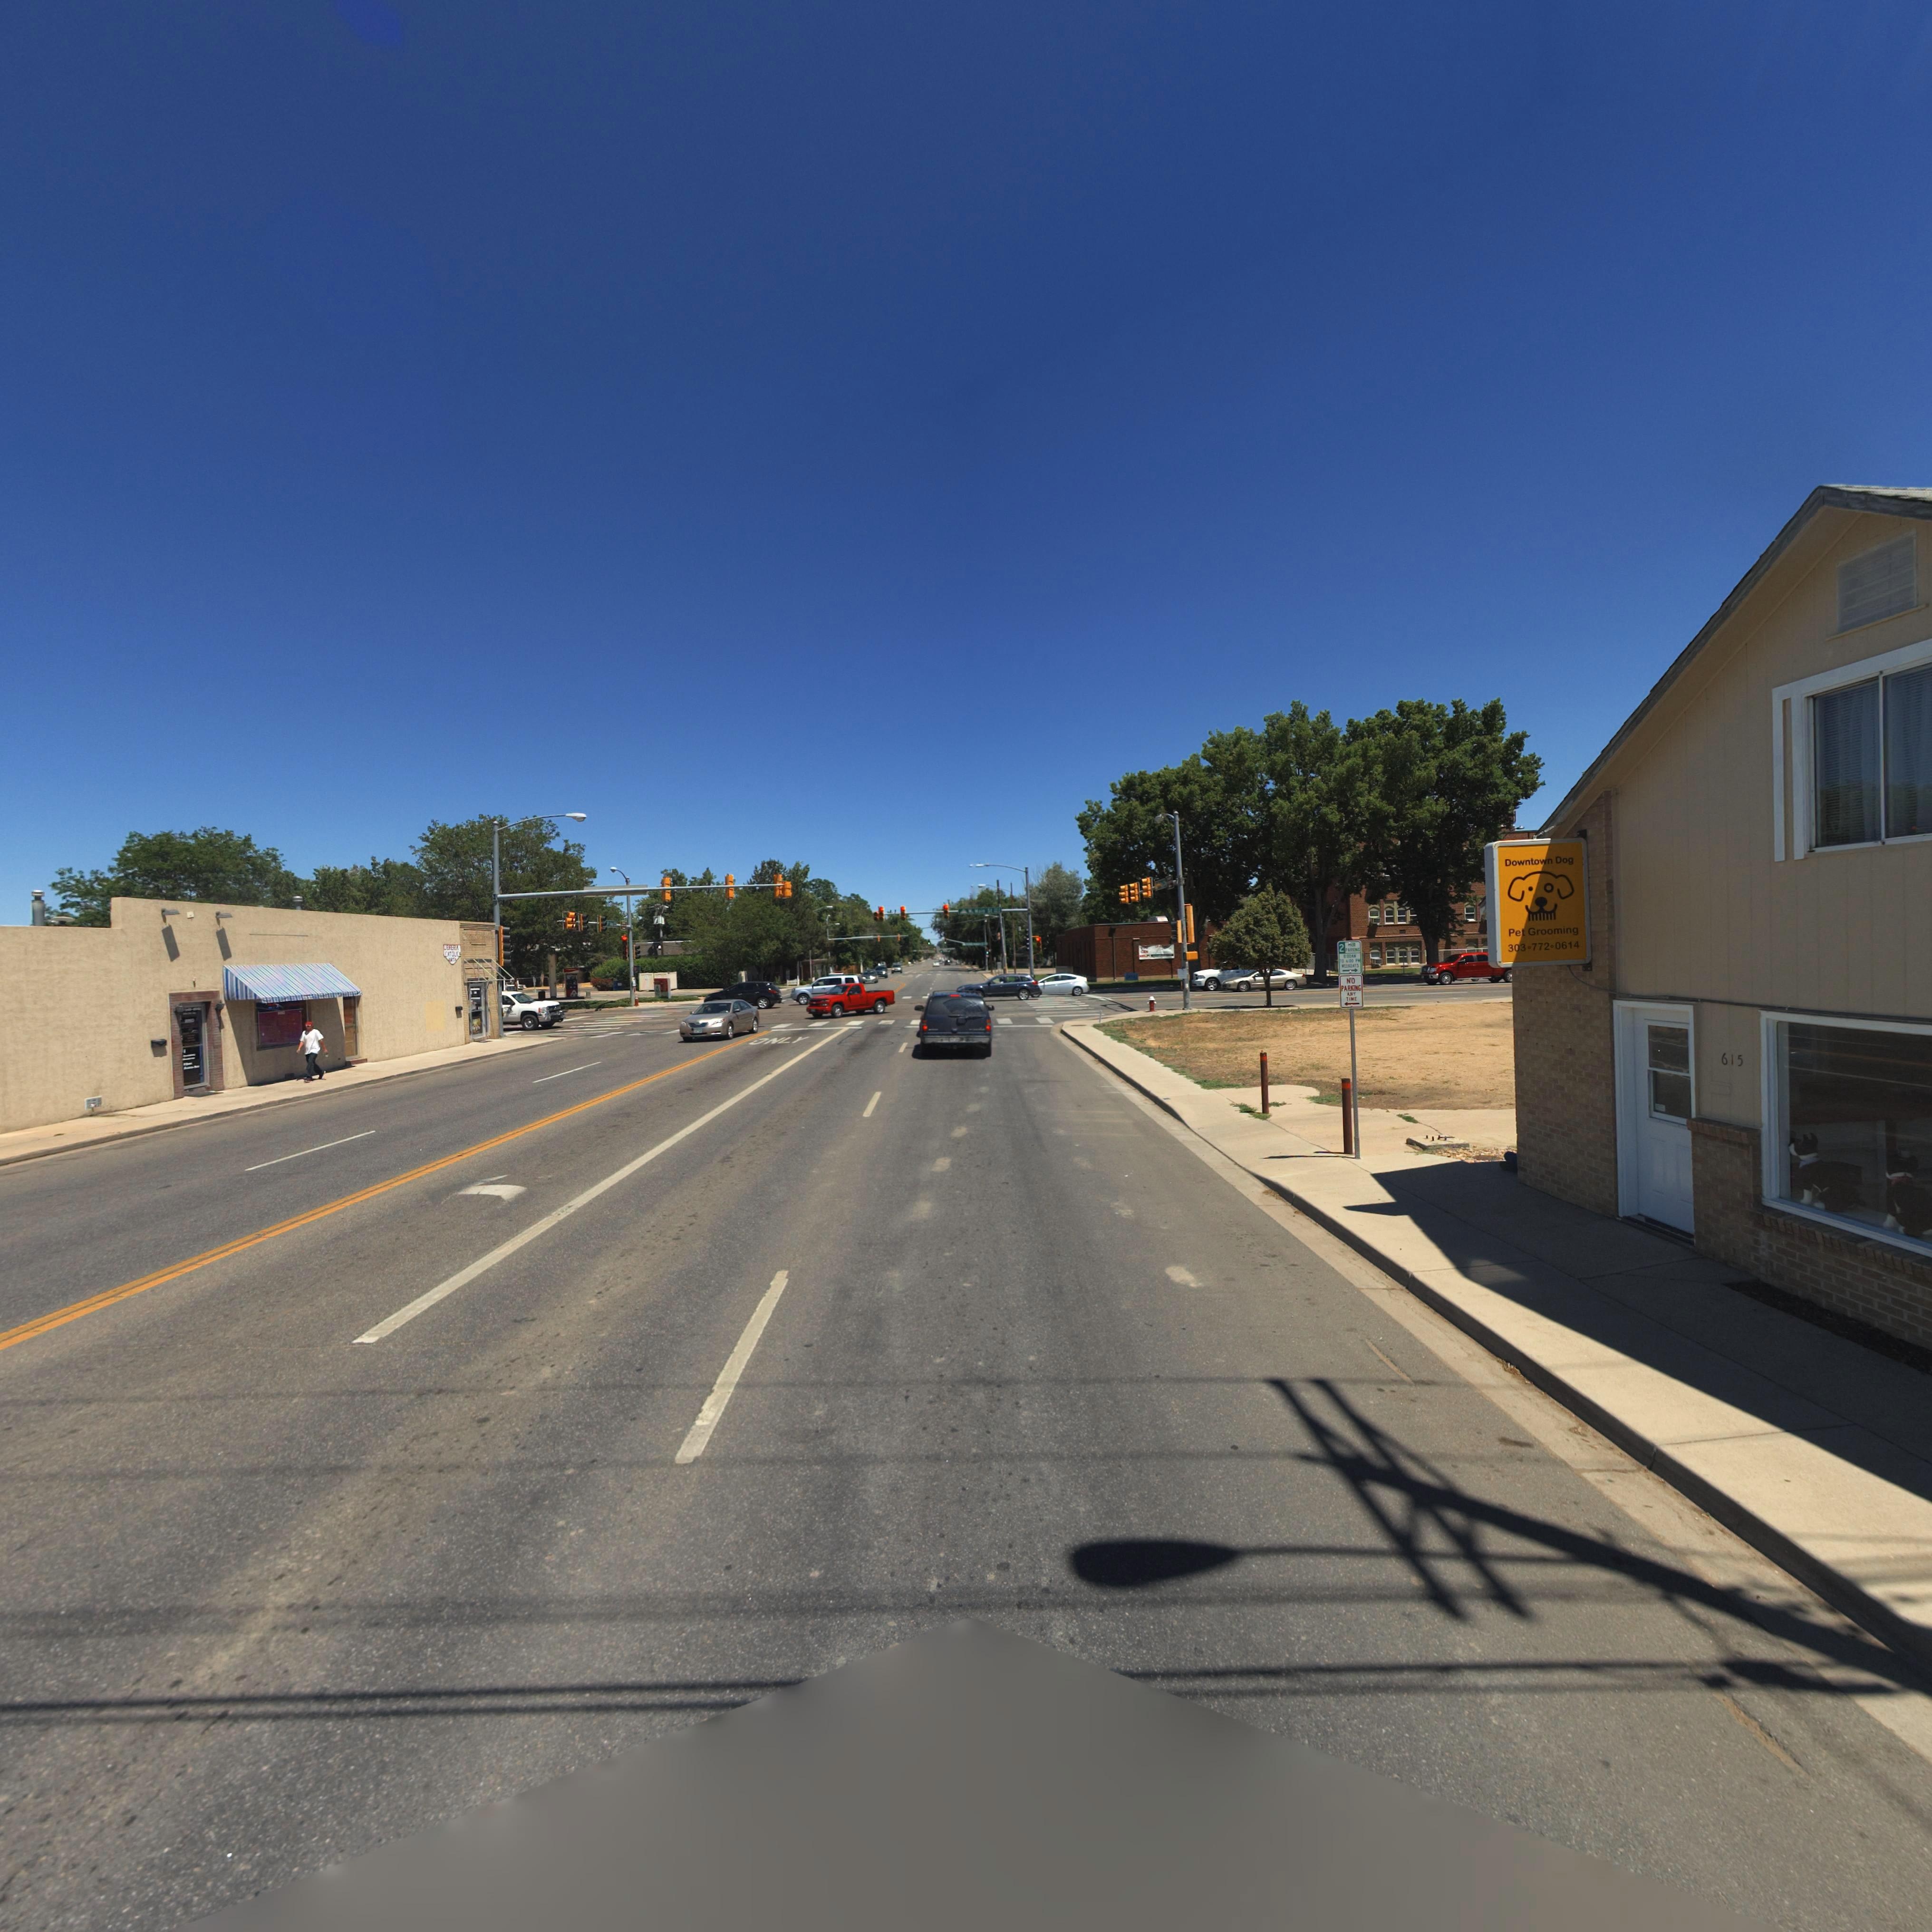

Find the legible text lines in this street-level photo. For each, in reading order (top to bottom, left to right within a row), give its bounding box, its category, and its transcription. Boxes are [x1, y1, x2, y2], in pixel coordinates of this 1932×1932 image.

[1504, 855, 1574, 867] BusinessName: Downtown Dog
[967, 908, 993, 913] StreetName: M* M*in St
[1508, 925, 1579, 937] BusinessName: Pet Grooming
[443, 944, 459, 950] BusinessName: L******A
[444, 950, 459, 957] BusinessName: CATOLIC
[447, 957, 457, 962] BusinessName: A***A
[1720, 1051, 1743, 1067] StreetNumber: 615